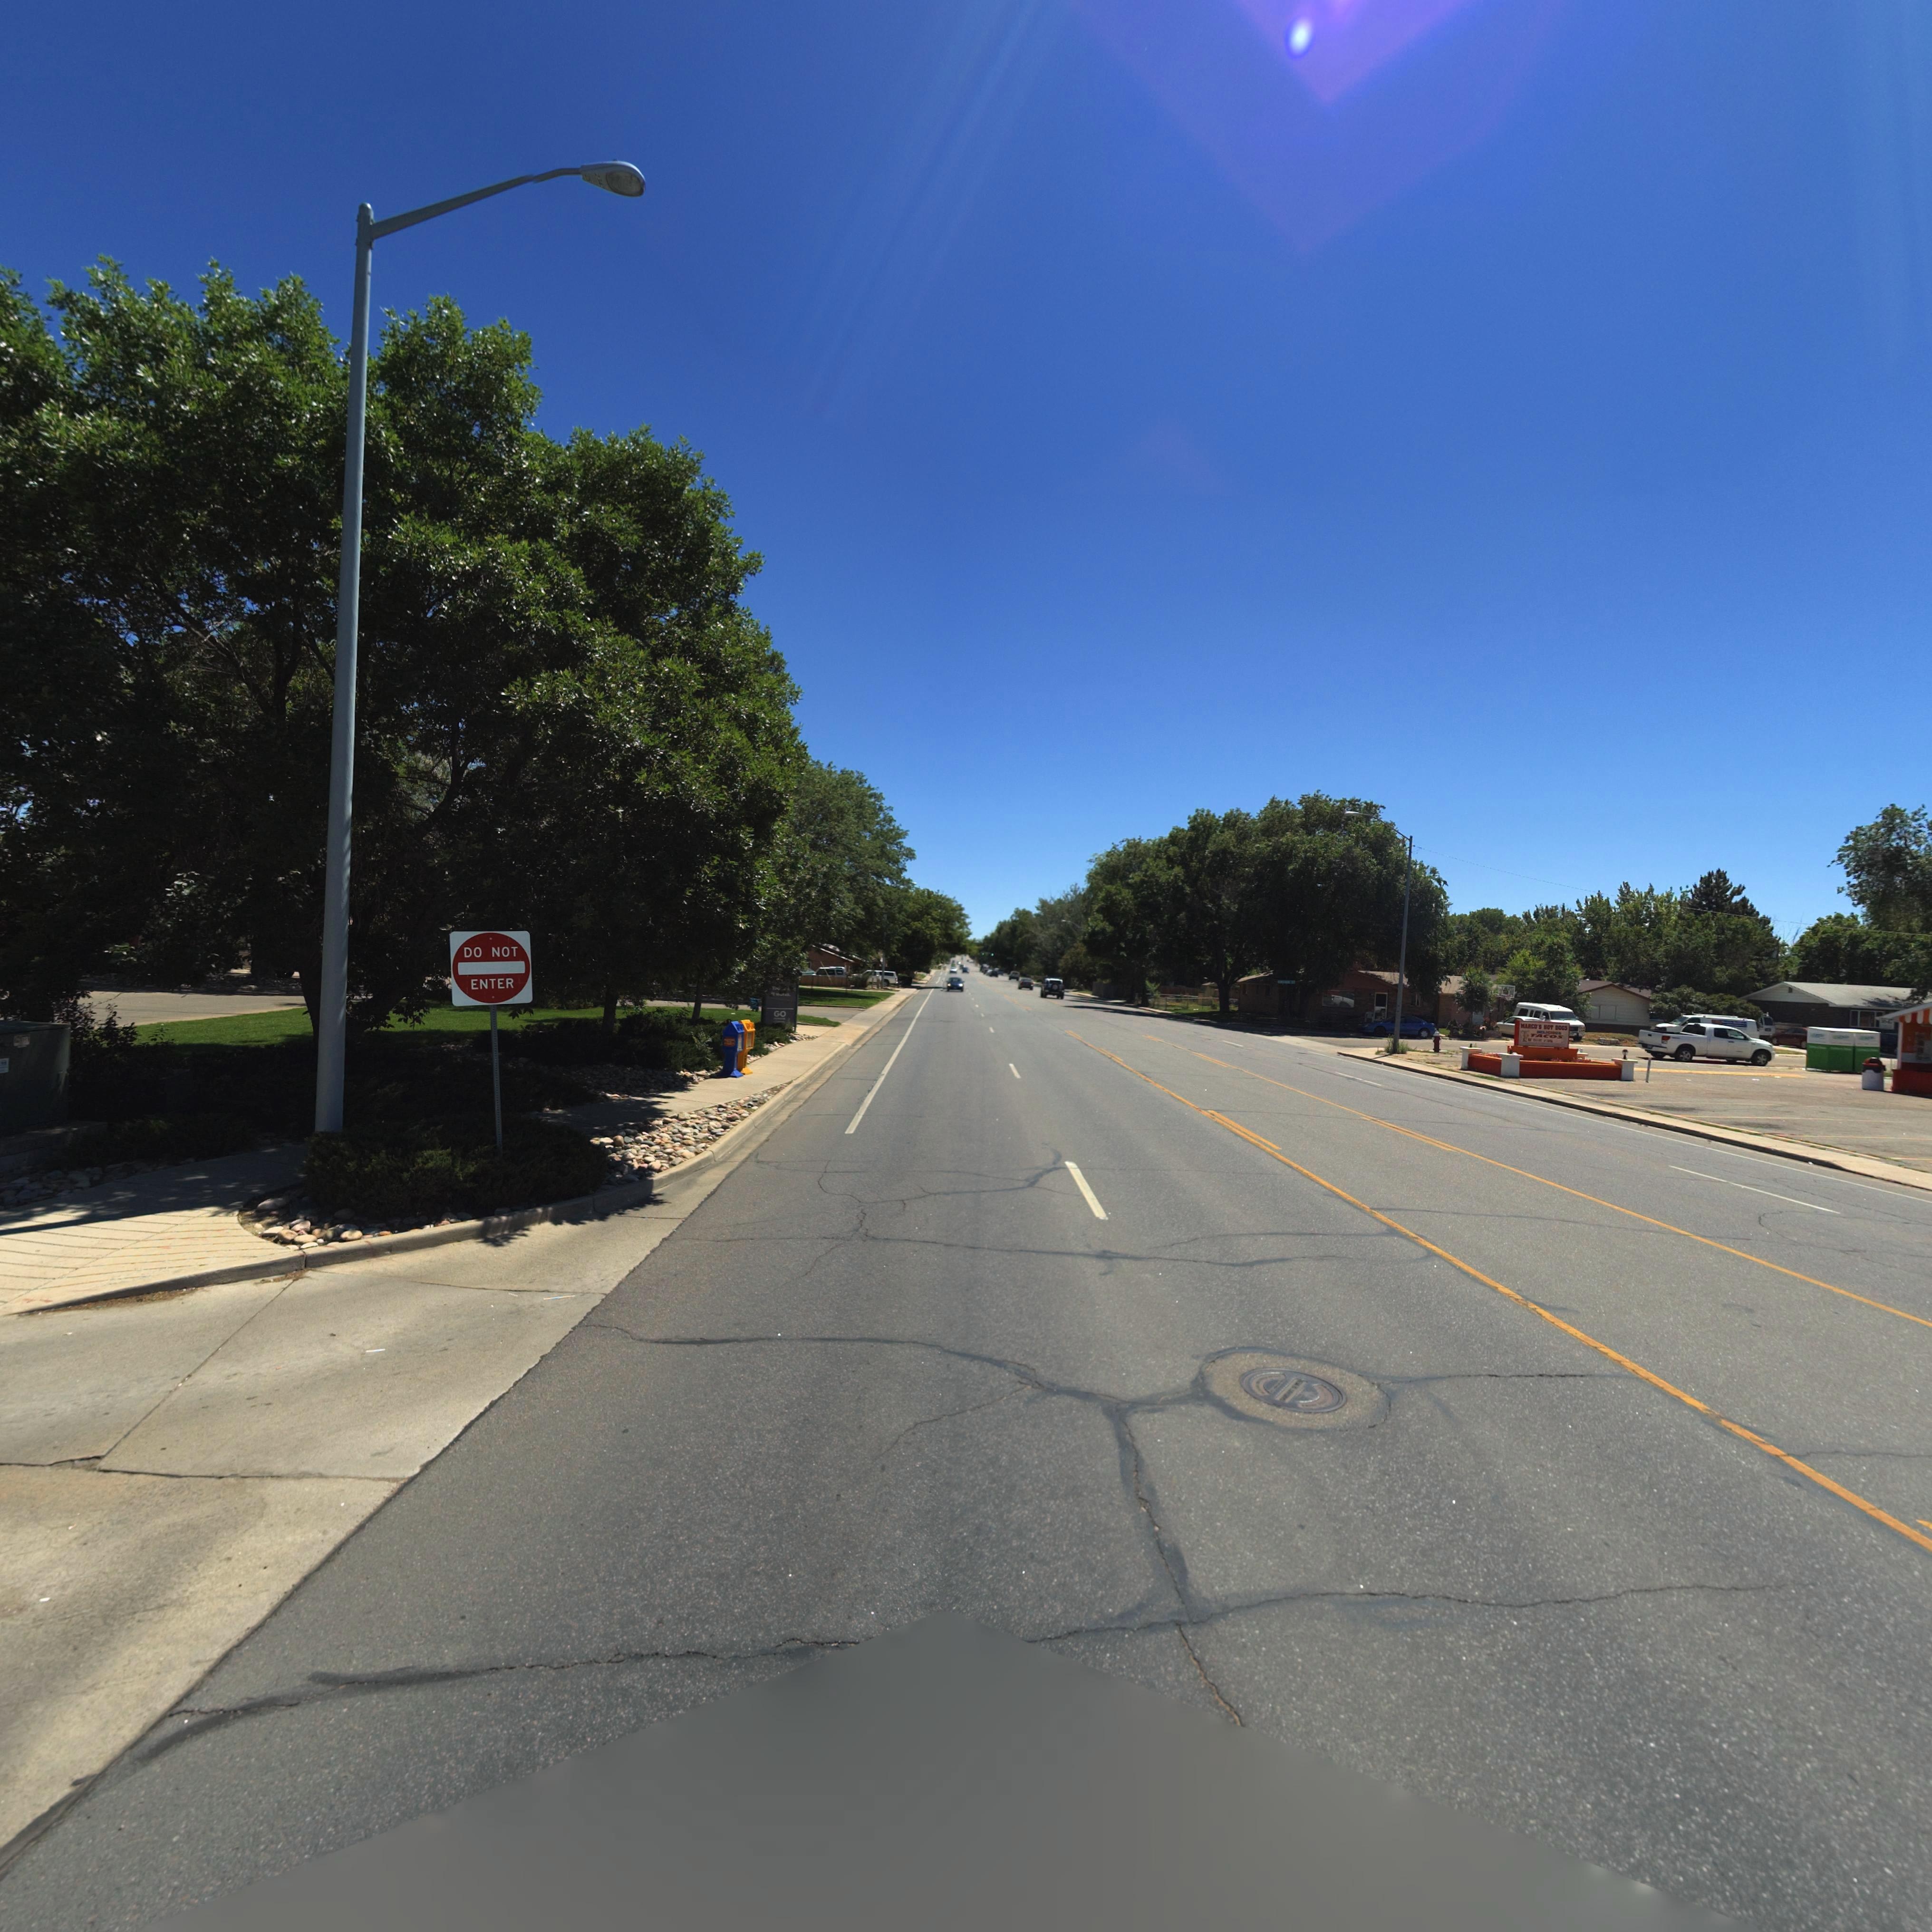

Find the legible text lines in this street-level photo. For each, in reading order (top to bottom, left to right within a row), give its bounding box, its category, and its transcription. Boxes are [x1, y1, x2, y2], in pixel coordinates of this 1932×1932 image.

[1520, 1023, 1567, 1031] BusinessName: ****** HOT DOGS
[1530, 1033, 1564, 1039] BusinessName: TACOS